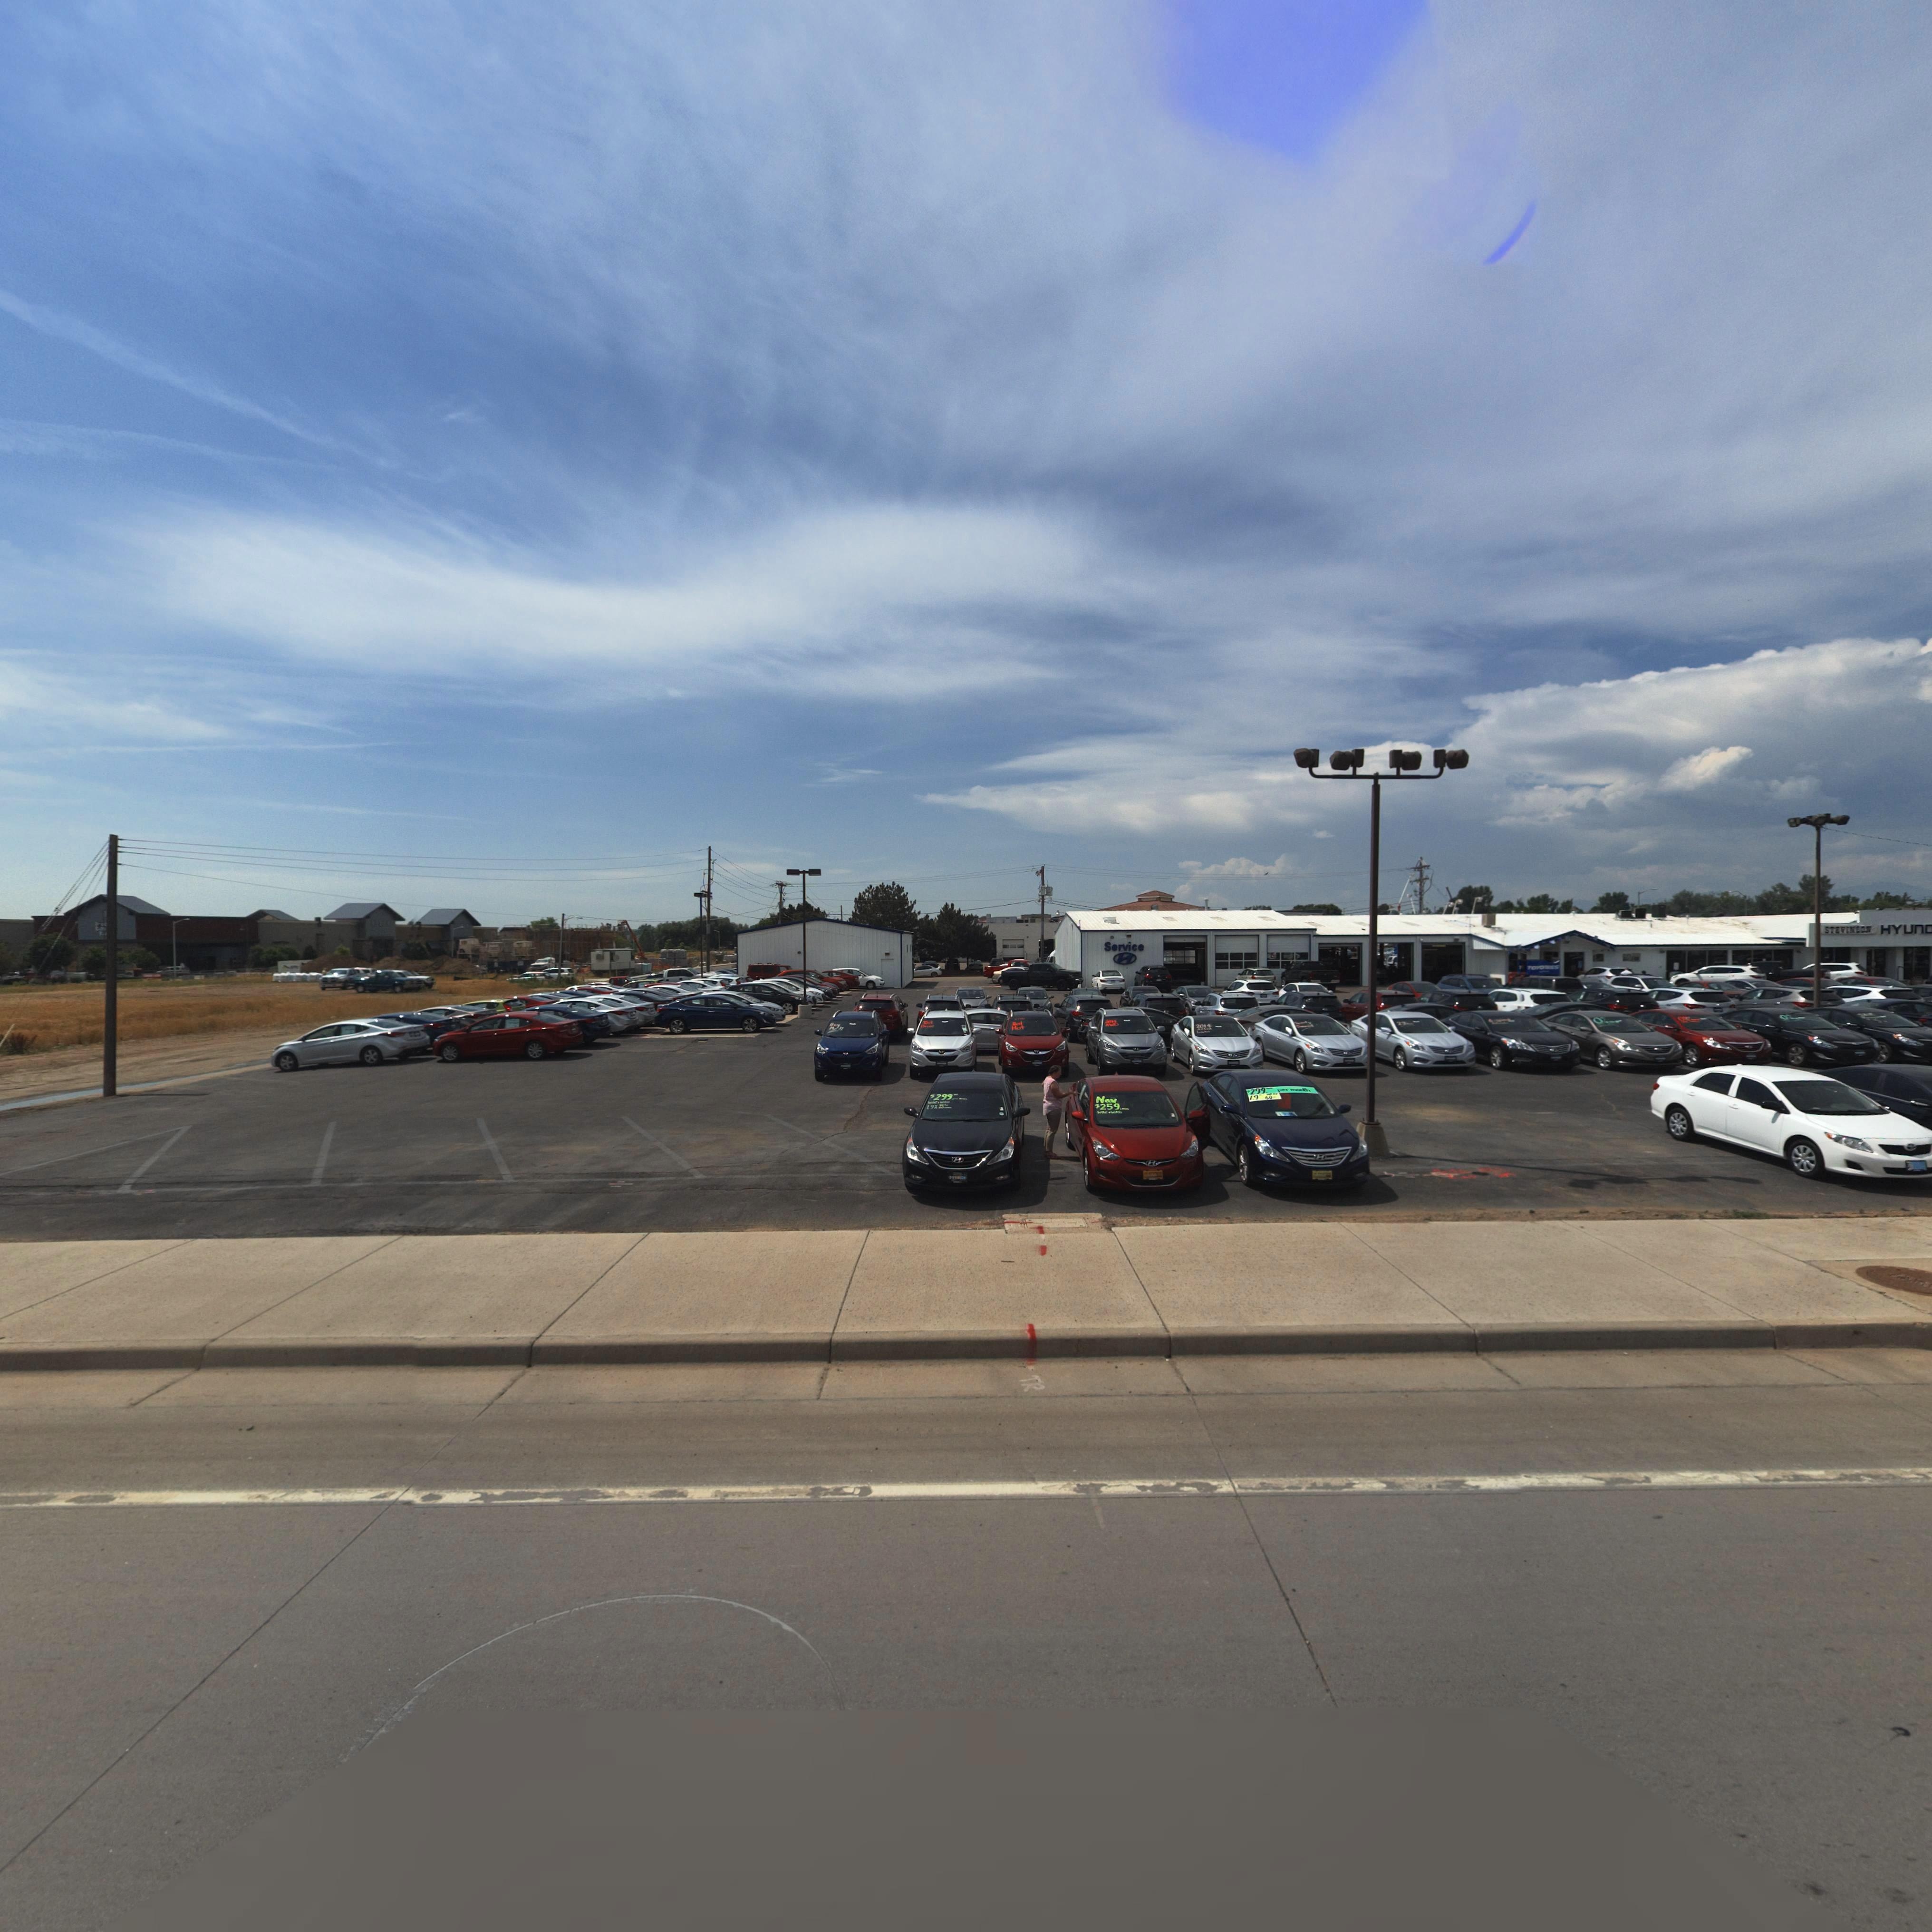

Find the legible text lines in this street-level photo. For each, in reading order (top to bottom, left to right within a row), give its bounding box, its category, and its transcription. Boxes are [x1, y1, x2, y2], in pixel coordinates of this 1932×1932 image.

[1824, 925, 1872, 934] BusinessName: STEVINSON
[1880, 924, 1925, 935] BusinessName: HYUn